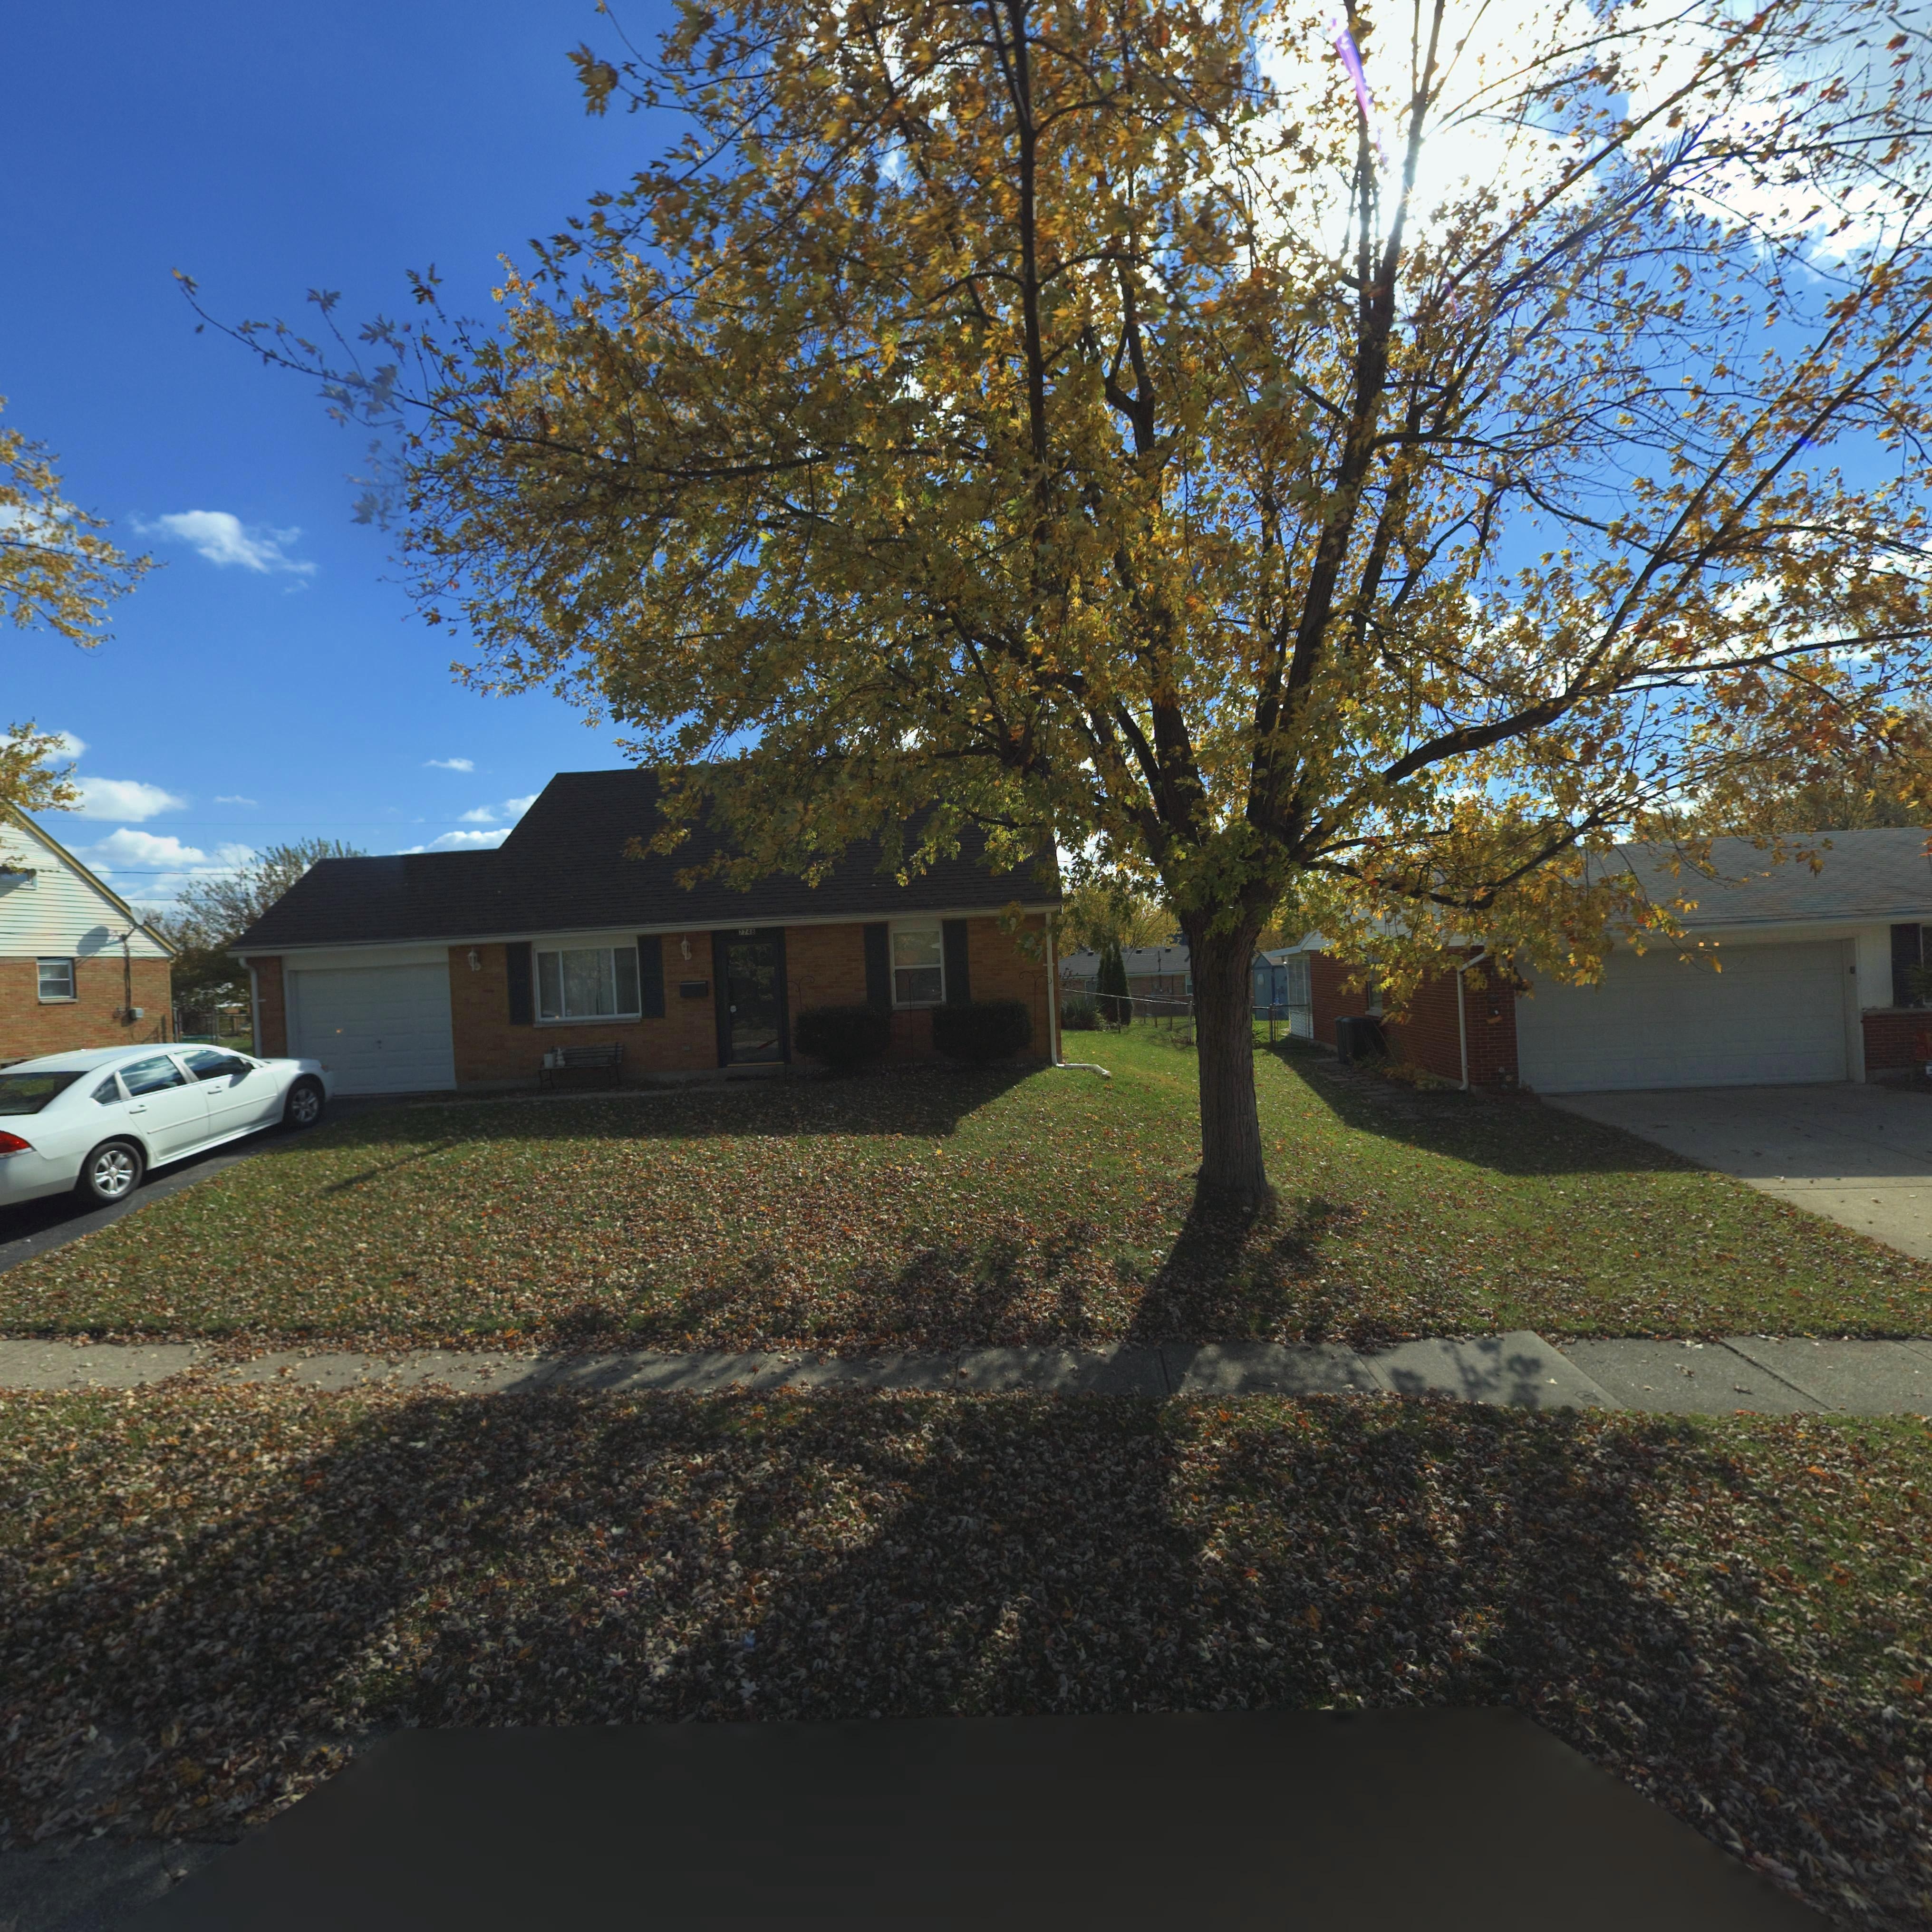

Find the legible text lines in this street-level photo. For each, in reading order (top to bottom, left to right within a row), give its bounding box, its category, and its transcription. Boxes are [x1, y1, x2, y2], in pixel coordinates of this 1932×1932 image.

[738, 928, 755, 935] StreetNumber: 7748